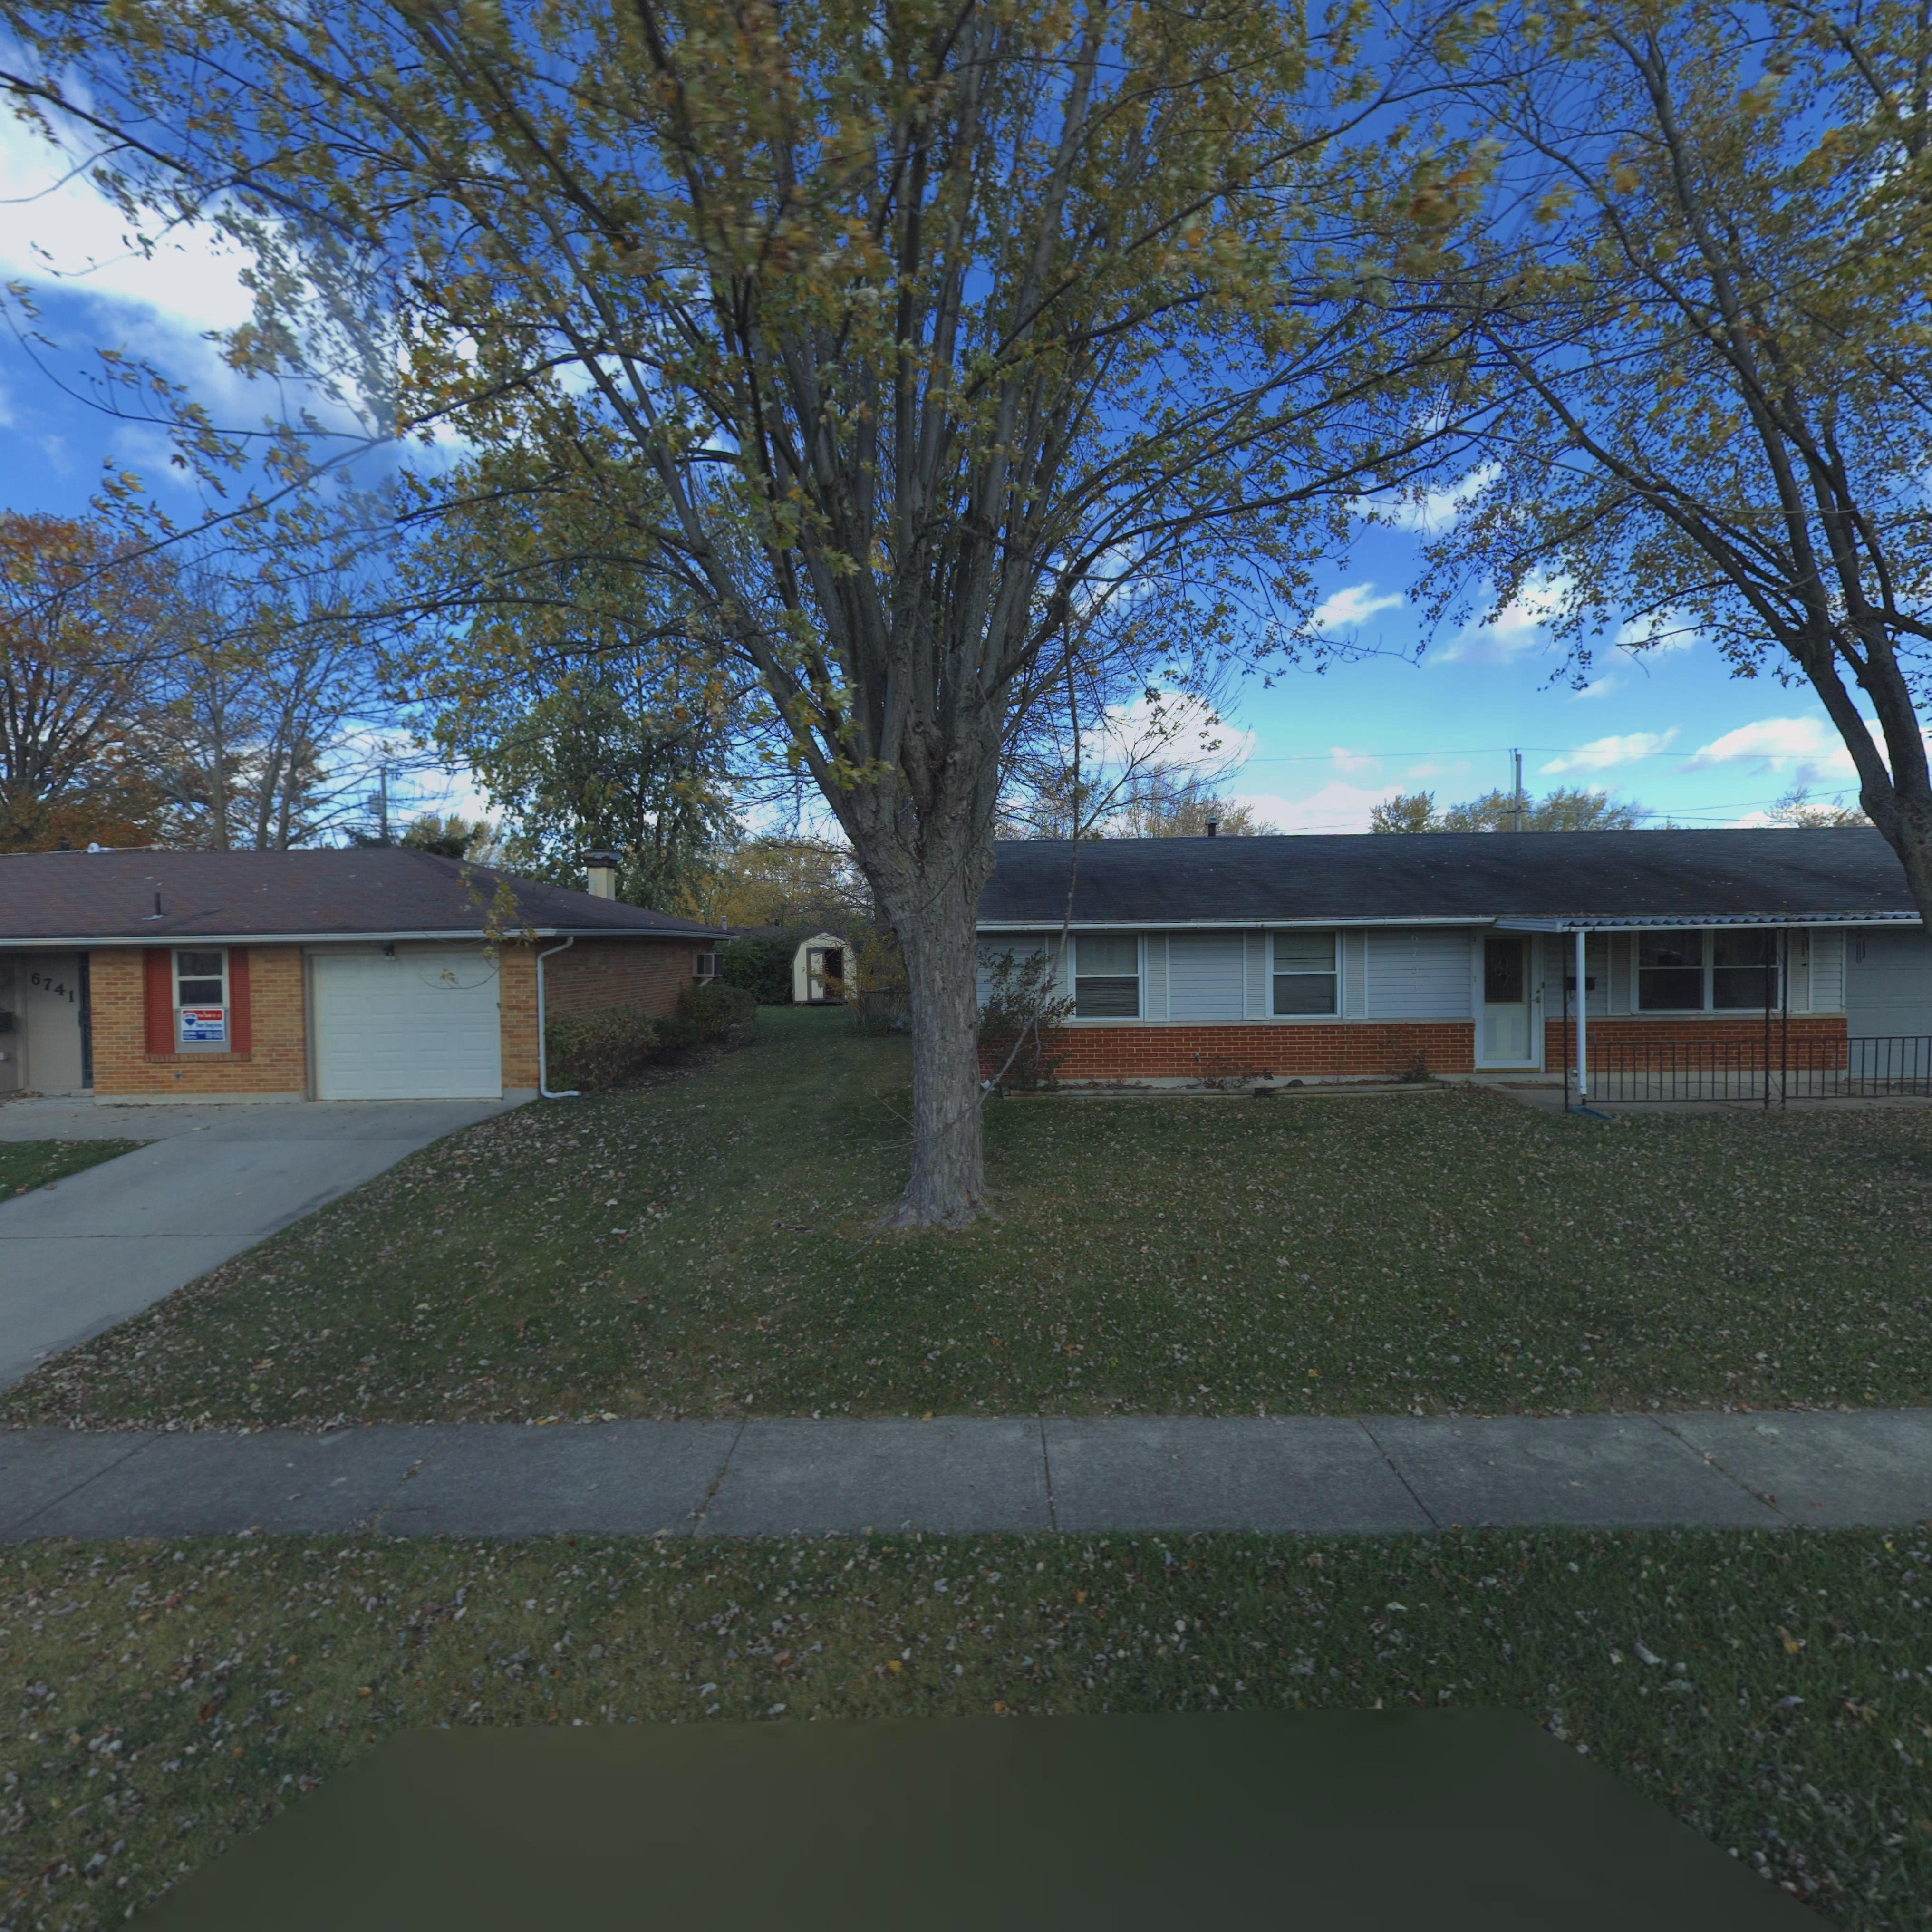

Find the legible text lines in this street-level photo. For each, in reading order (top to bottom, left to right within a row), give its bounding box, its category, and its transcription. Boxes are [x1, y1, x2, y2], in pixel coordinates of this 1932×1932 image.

[30, 971, 75, 1004] StreetNumber: 6741
[1410, 931, 1419, 991] StreetNumber: 6751